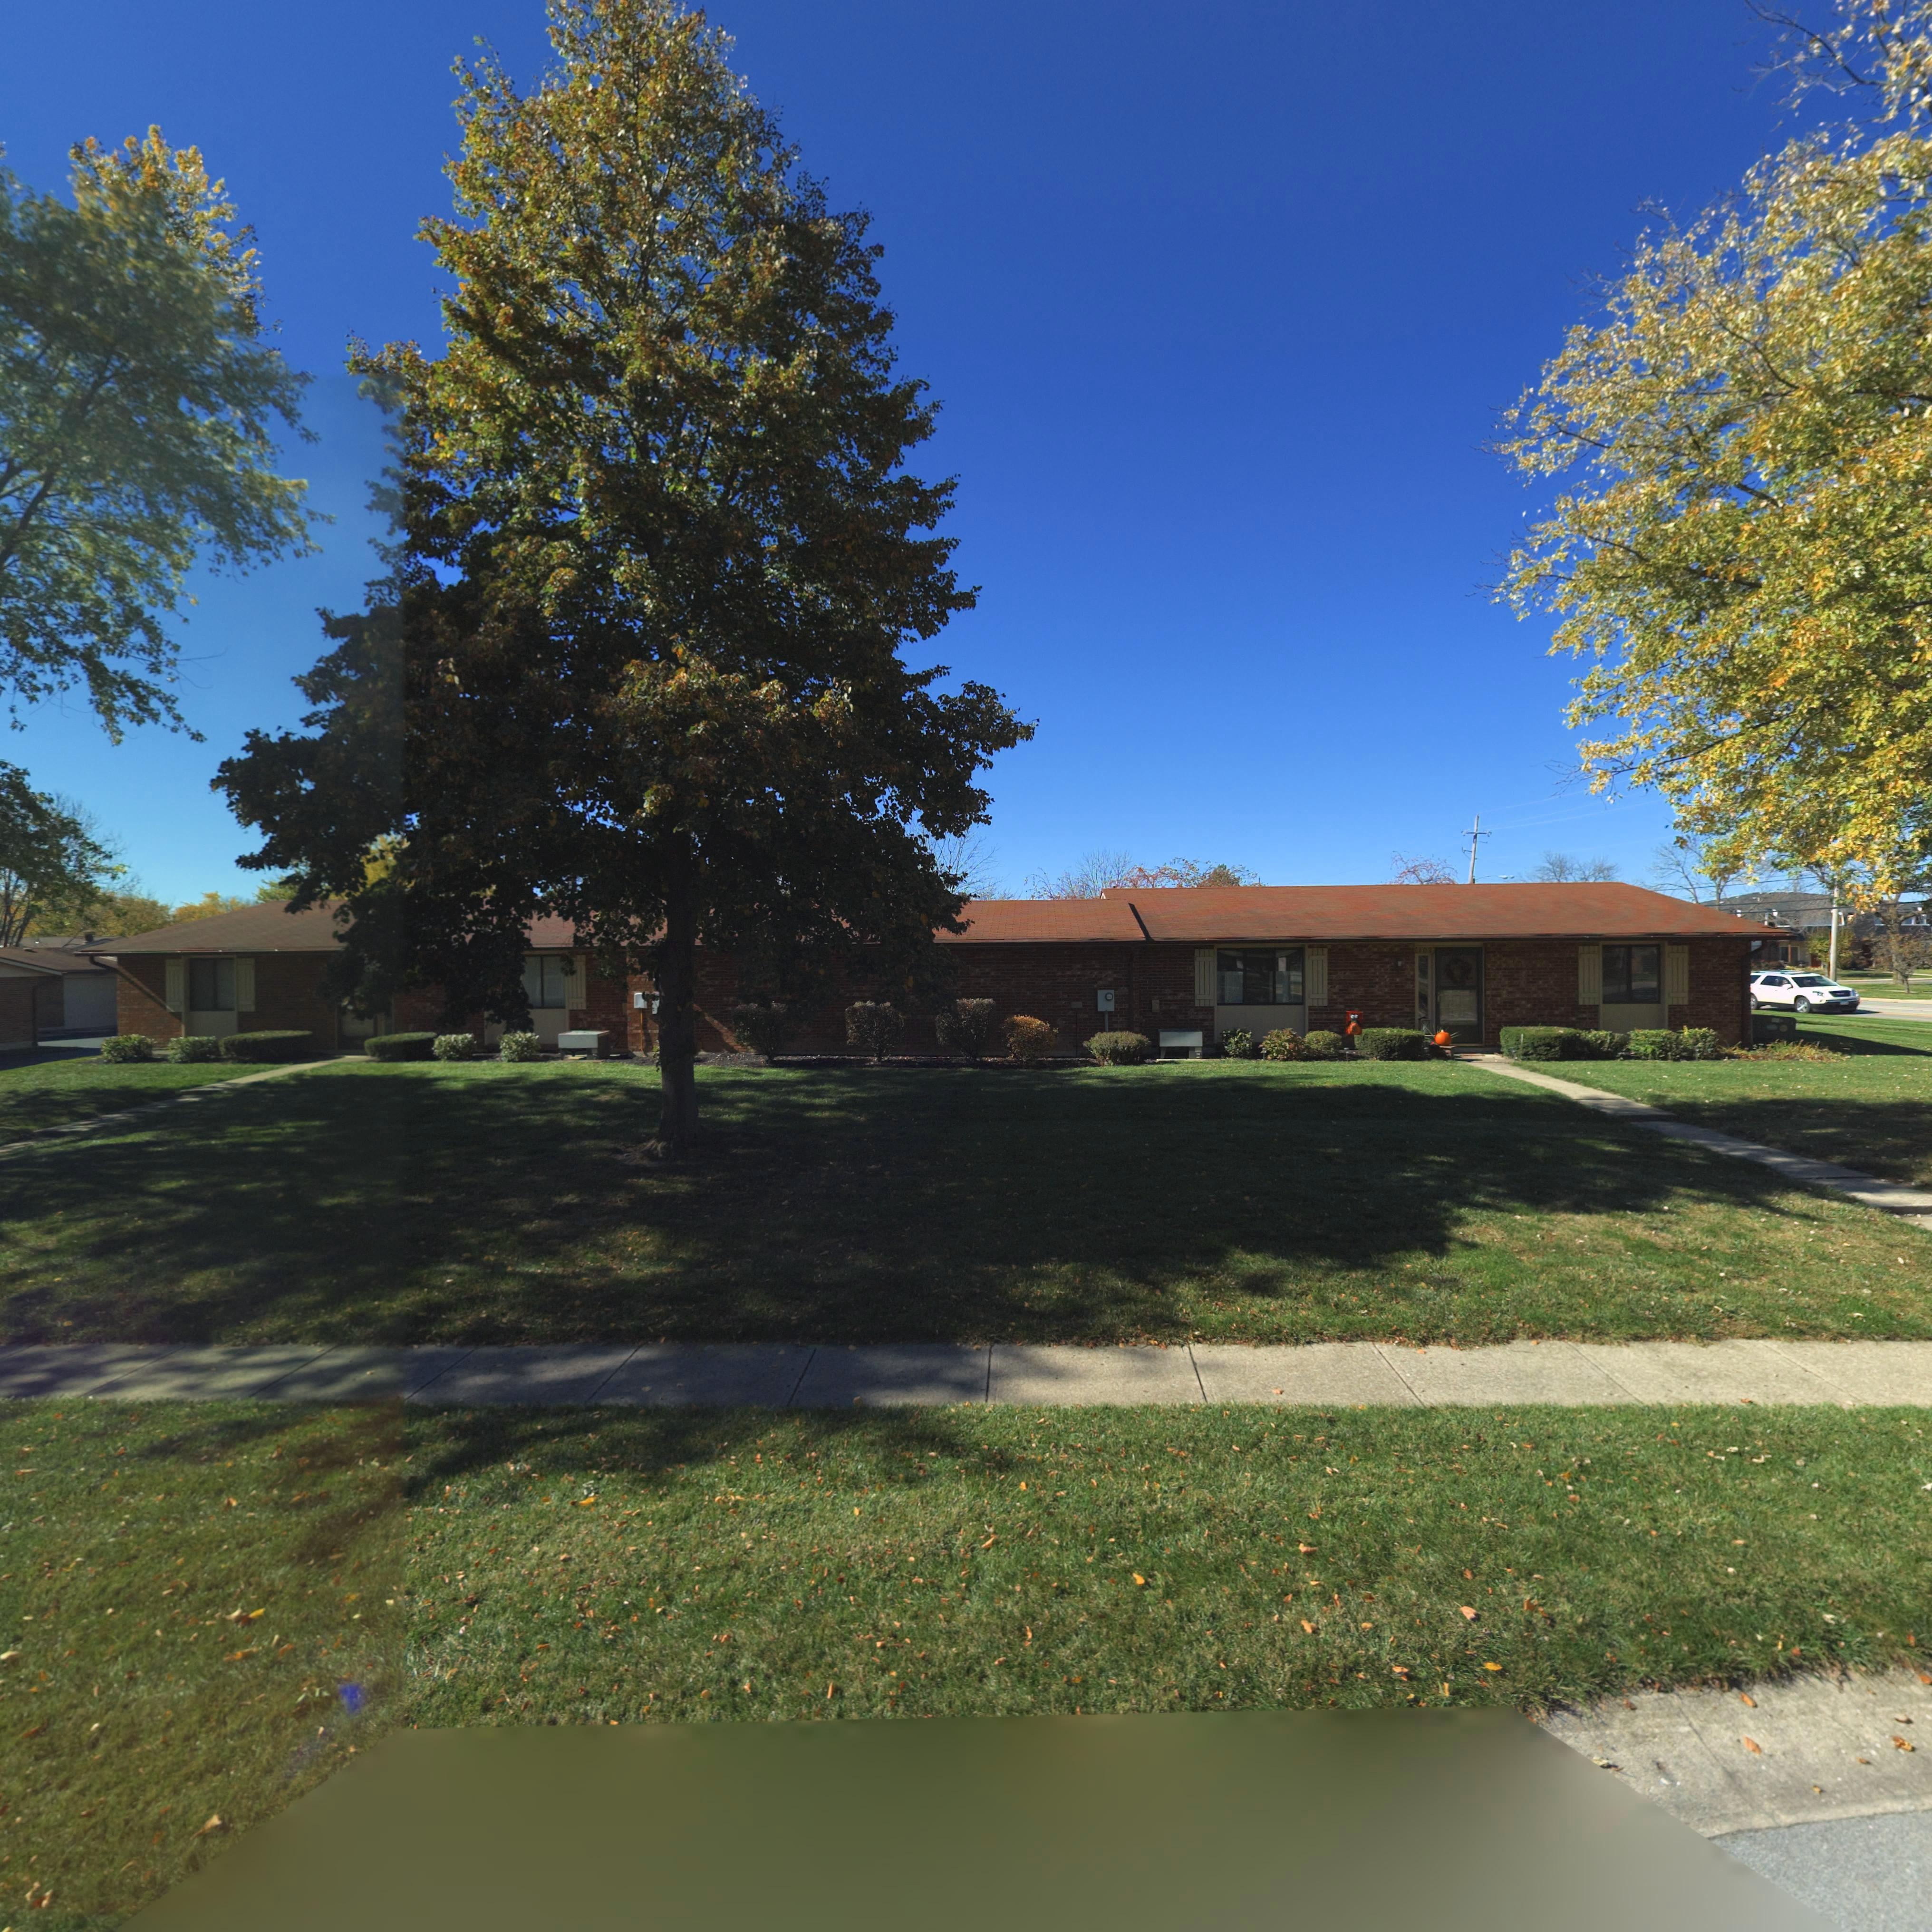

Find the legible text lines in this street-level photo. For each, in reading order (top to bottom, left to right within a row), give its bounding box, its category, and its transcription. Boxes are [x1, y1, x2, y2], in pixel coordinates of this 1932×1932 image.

[1418, 947, 1432, 954] StreetNumber: 103